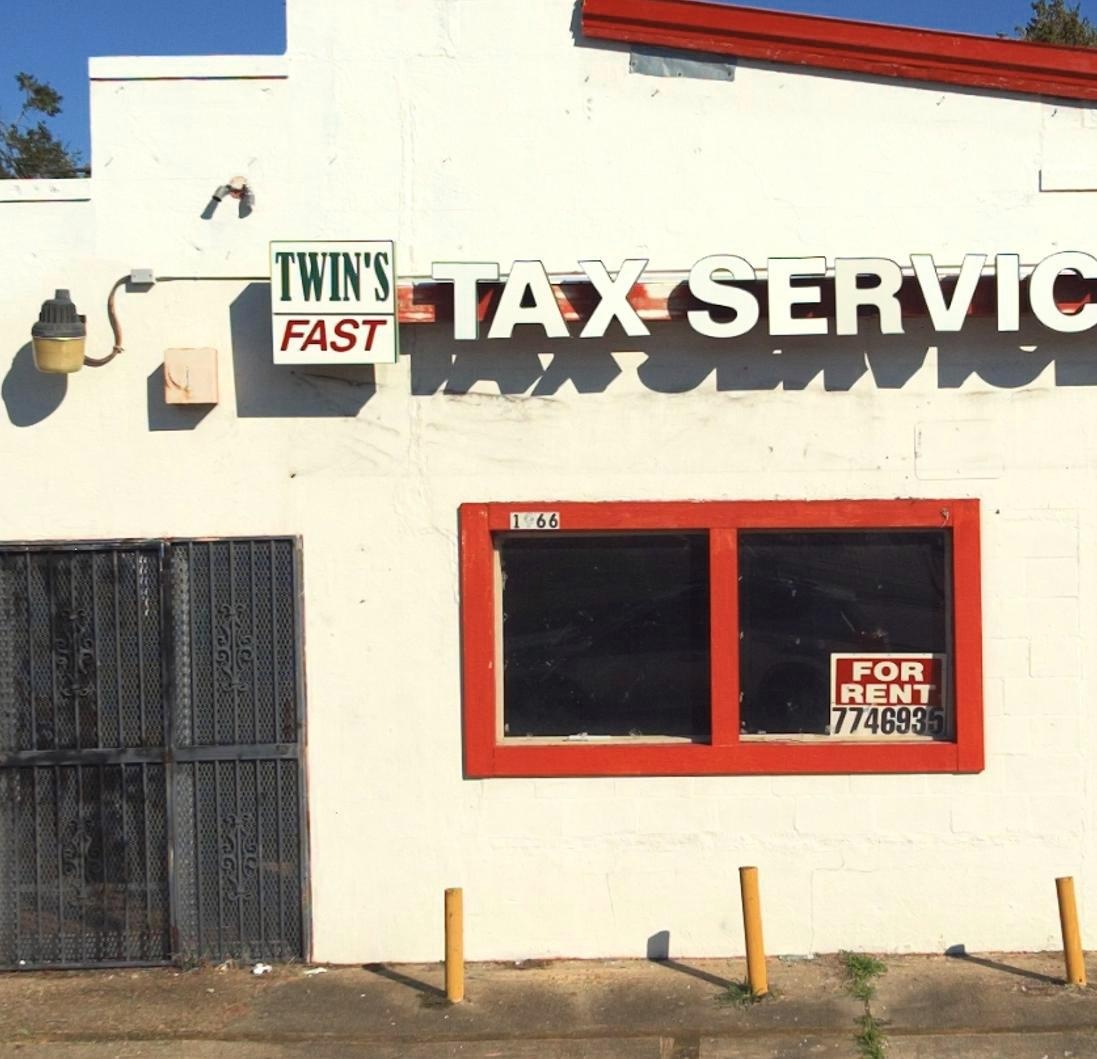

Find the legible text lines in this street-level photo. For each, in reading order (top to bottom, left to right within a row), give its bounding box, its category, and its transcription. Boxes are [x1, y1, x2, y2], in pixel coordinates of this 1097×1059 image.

[273, 250, 393, 303] BusinessName: TWIN'S
[426, 247, 1024, 343] BusinessName: TAX SERVI
[276, 317, 390, 353] BusinessName: FAST
[511, 512, 559, 529] StreetNumber: 1966
[849, 659, 924, 683] None: FOR
[837, 682, 939, 705] None: RENT
[830, 705, 945, 736] None: 7746935